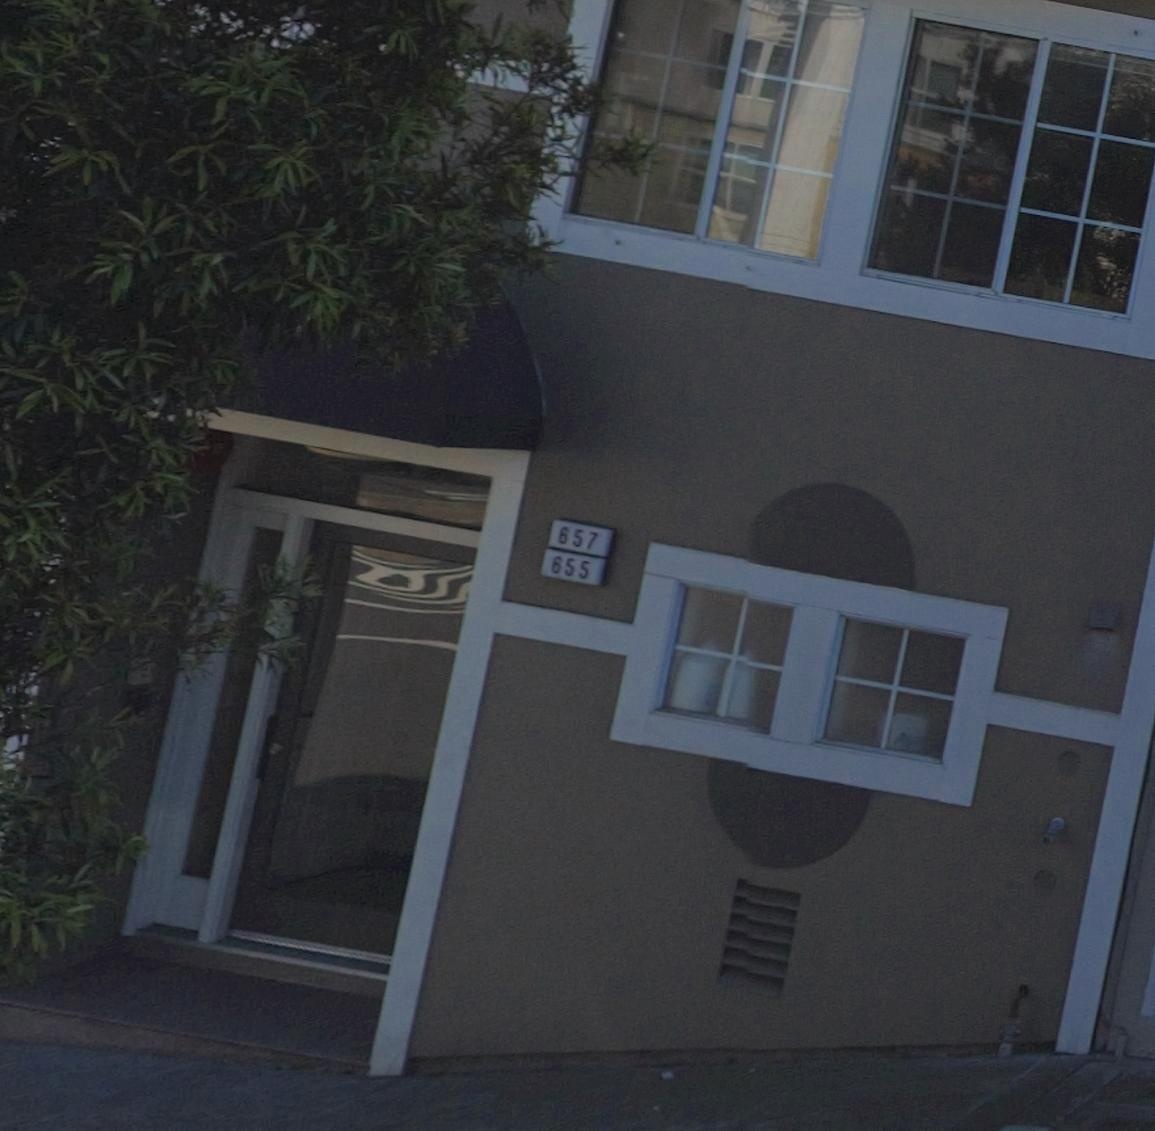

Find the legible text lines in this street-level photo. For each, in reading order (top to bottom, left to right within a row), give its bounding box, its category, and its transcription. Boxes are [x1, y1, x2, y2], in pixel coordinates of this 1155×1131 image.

[555, 524, 601, 551] StreetNumber: 657
[549, 553, 591, 581] StreetNumber: 655